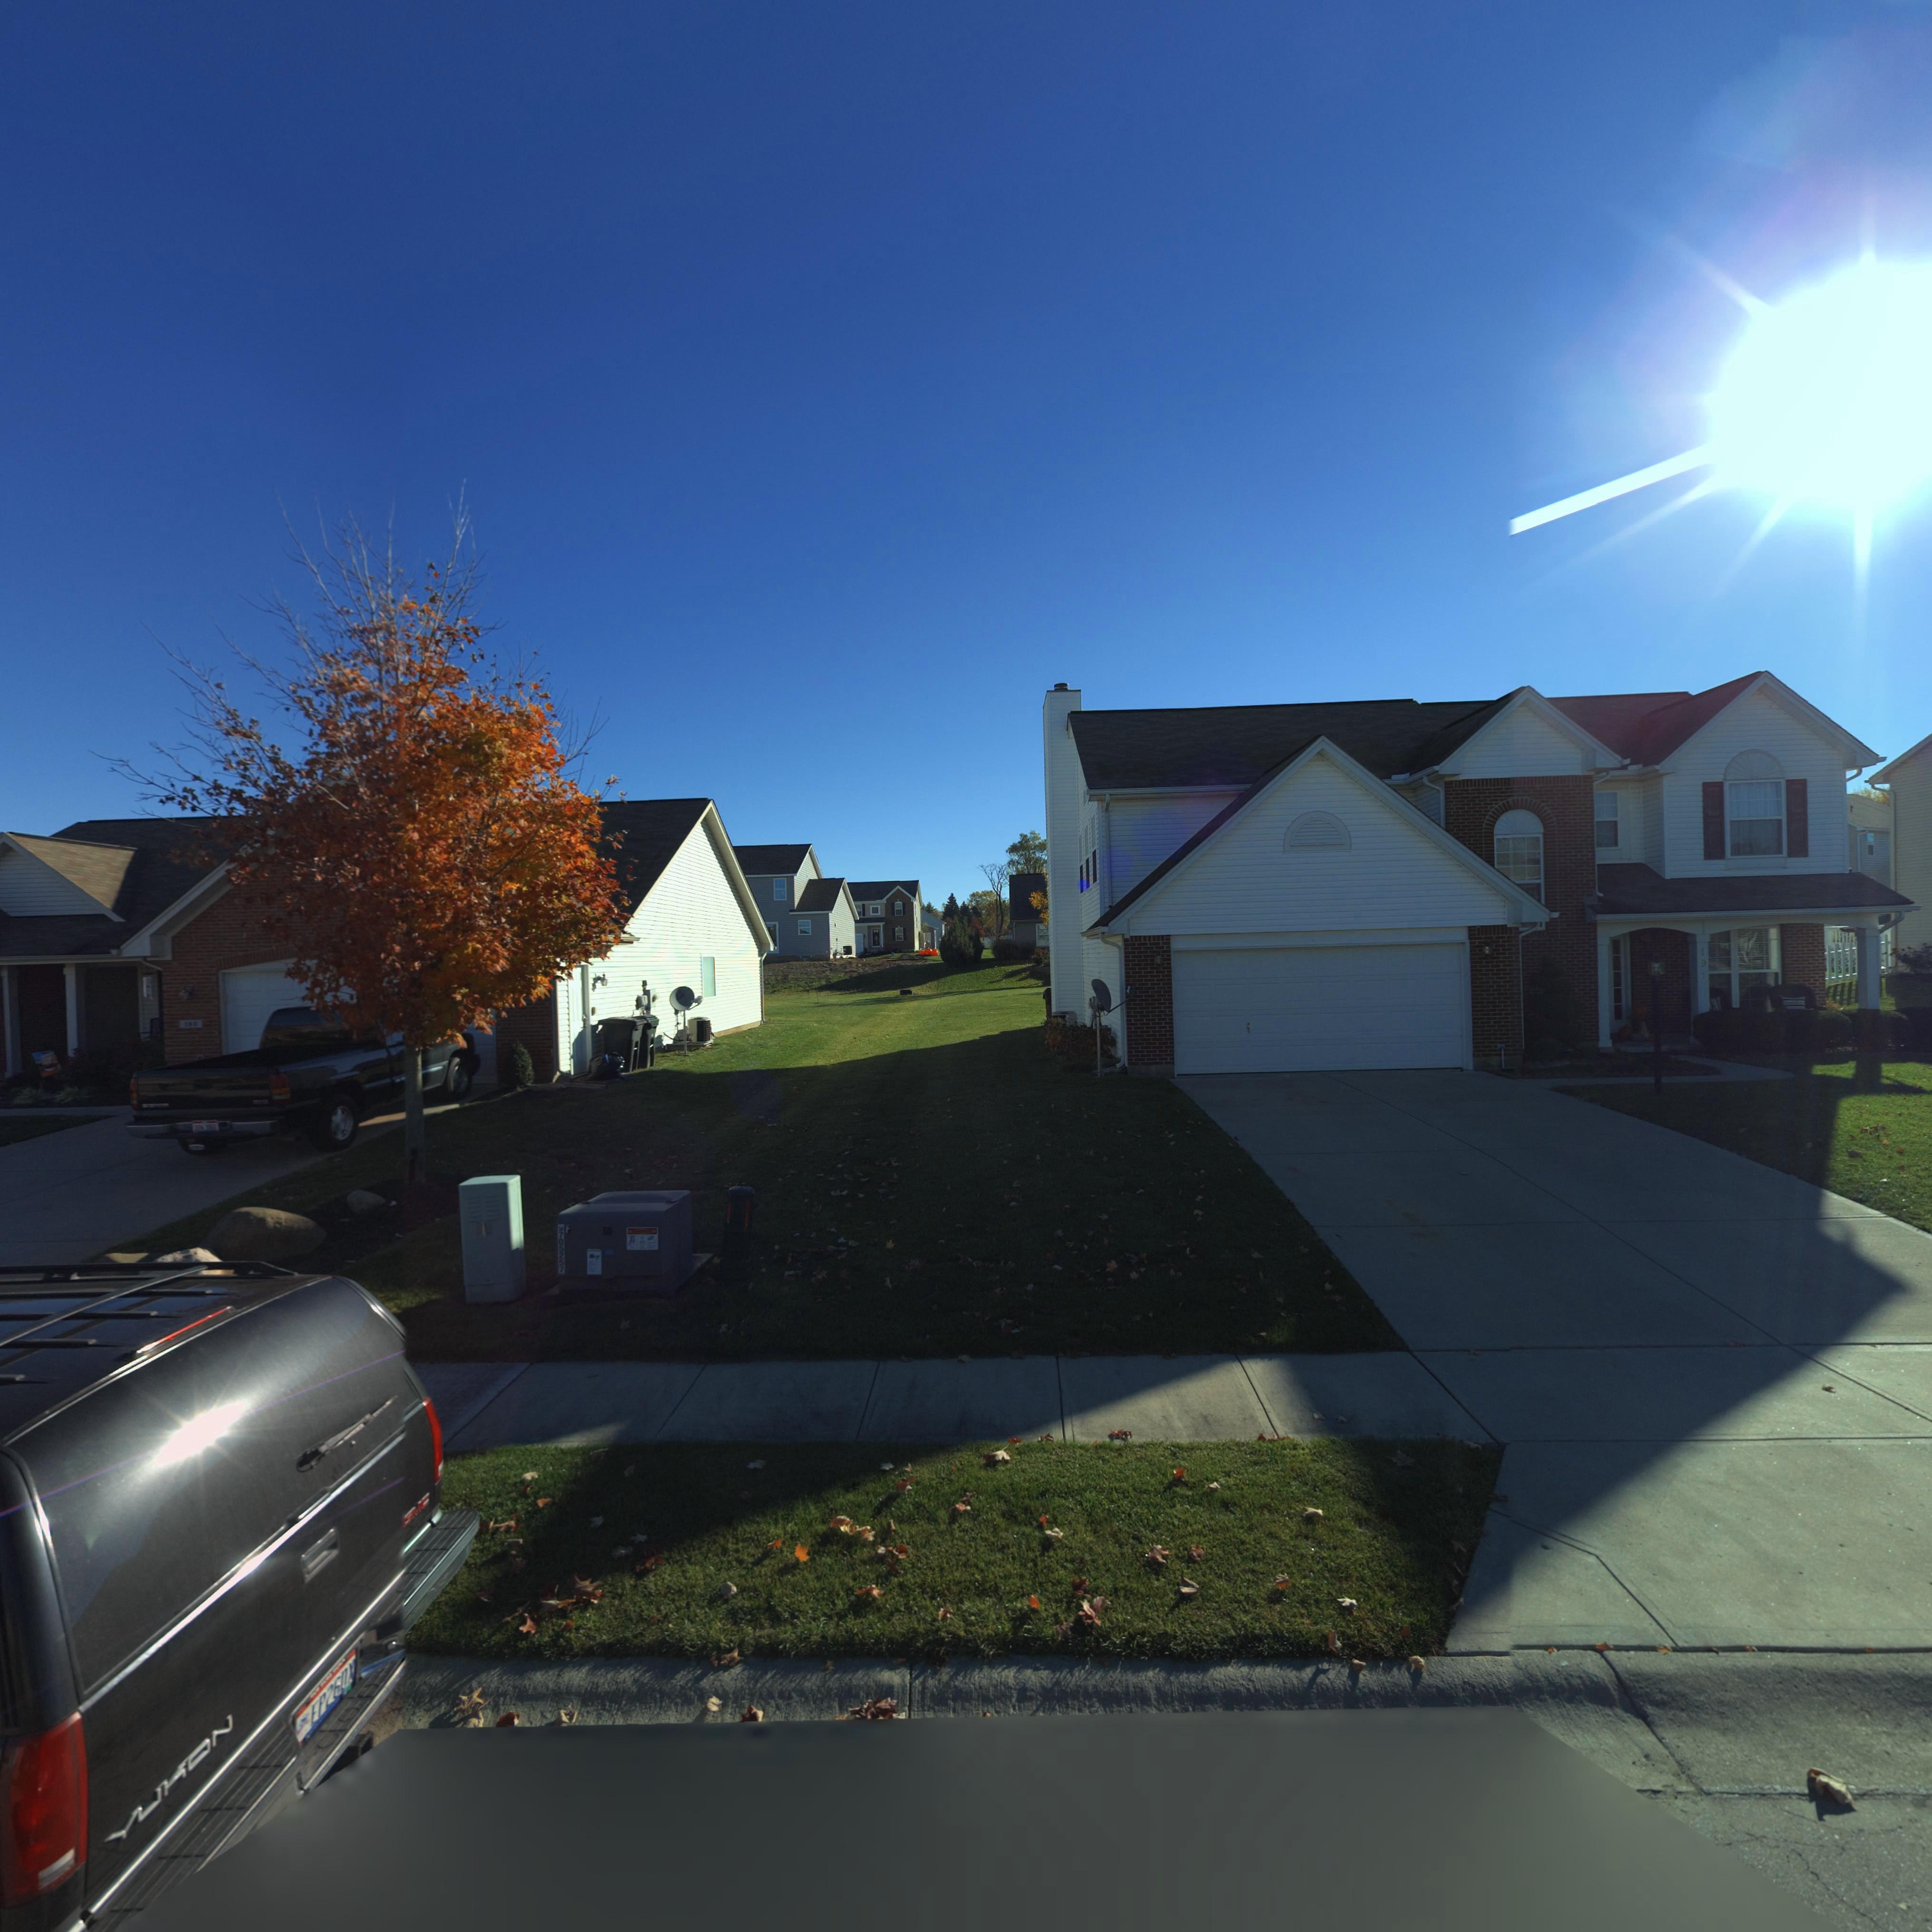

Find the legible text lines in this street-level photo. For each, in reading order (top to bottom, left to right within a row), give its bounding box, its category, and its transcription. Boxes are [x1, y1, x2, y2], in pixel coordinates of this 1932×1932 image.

[1700, 946, 1708, 980] StreetNumber: 191
[557, 1225, 564, 1274] None: 970527
[310, 1653, 357, 1730] None: EP260*
[99, 1703, 237, 1852] None: YUKON